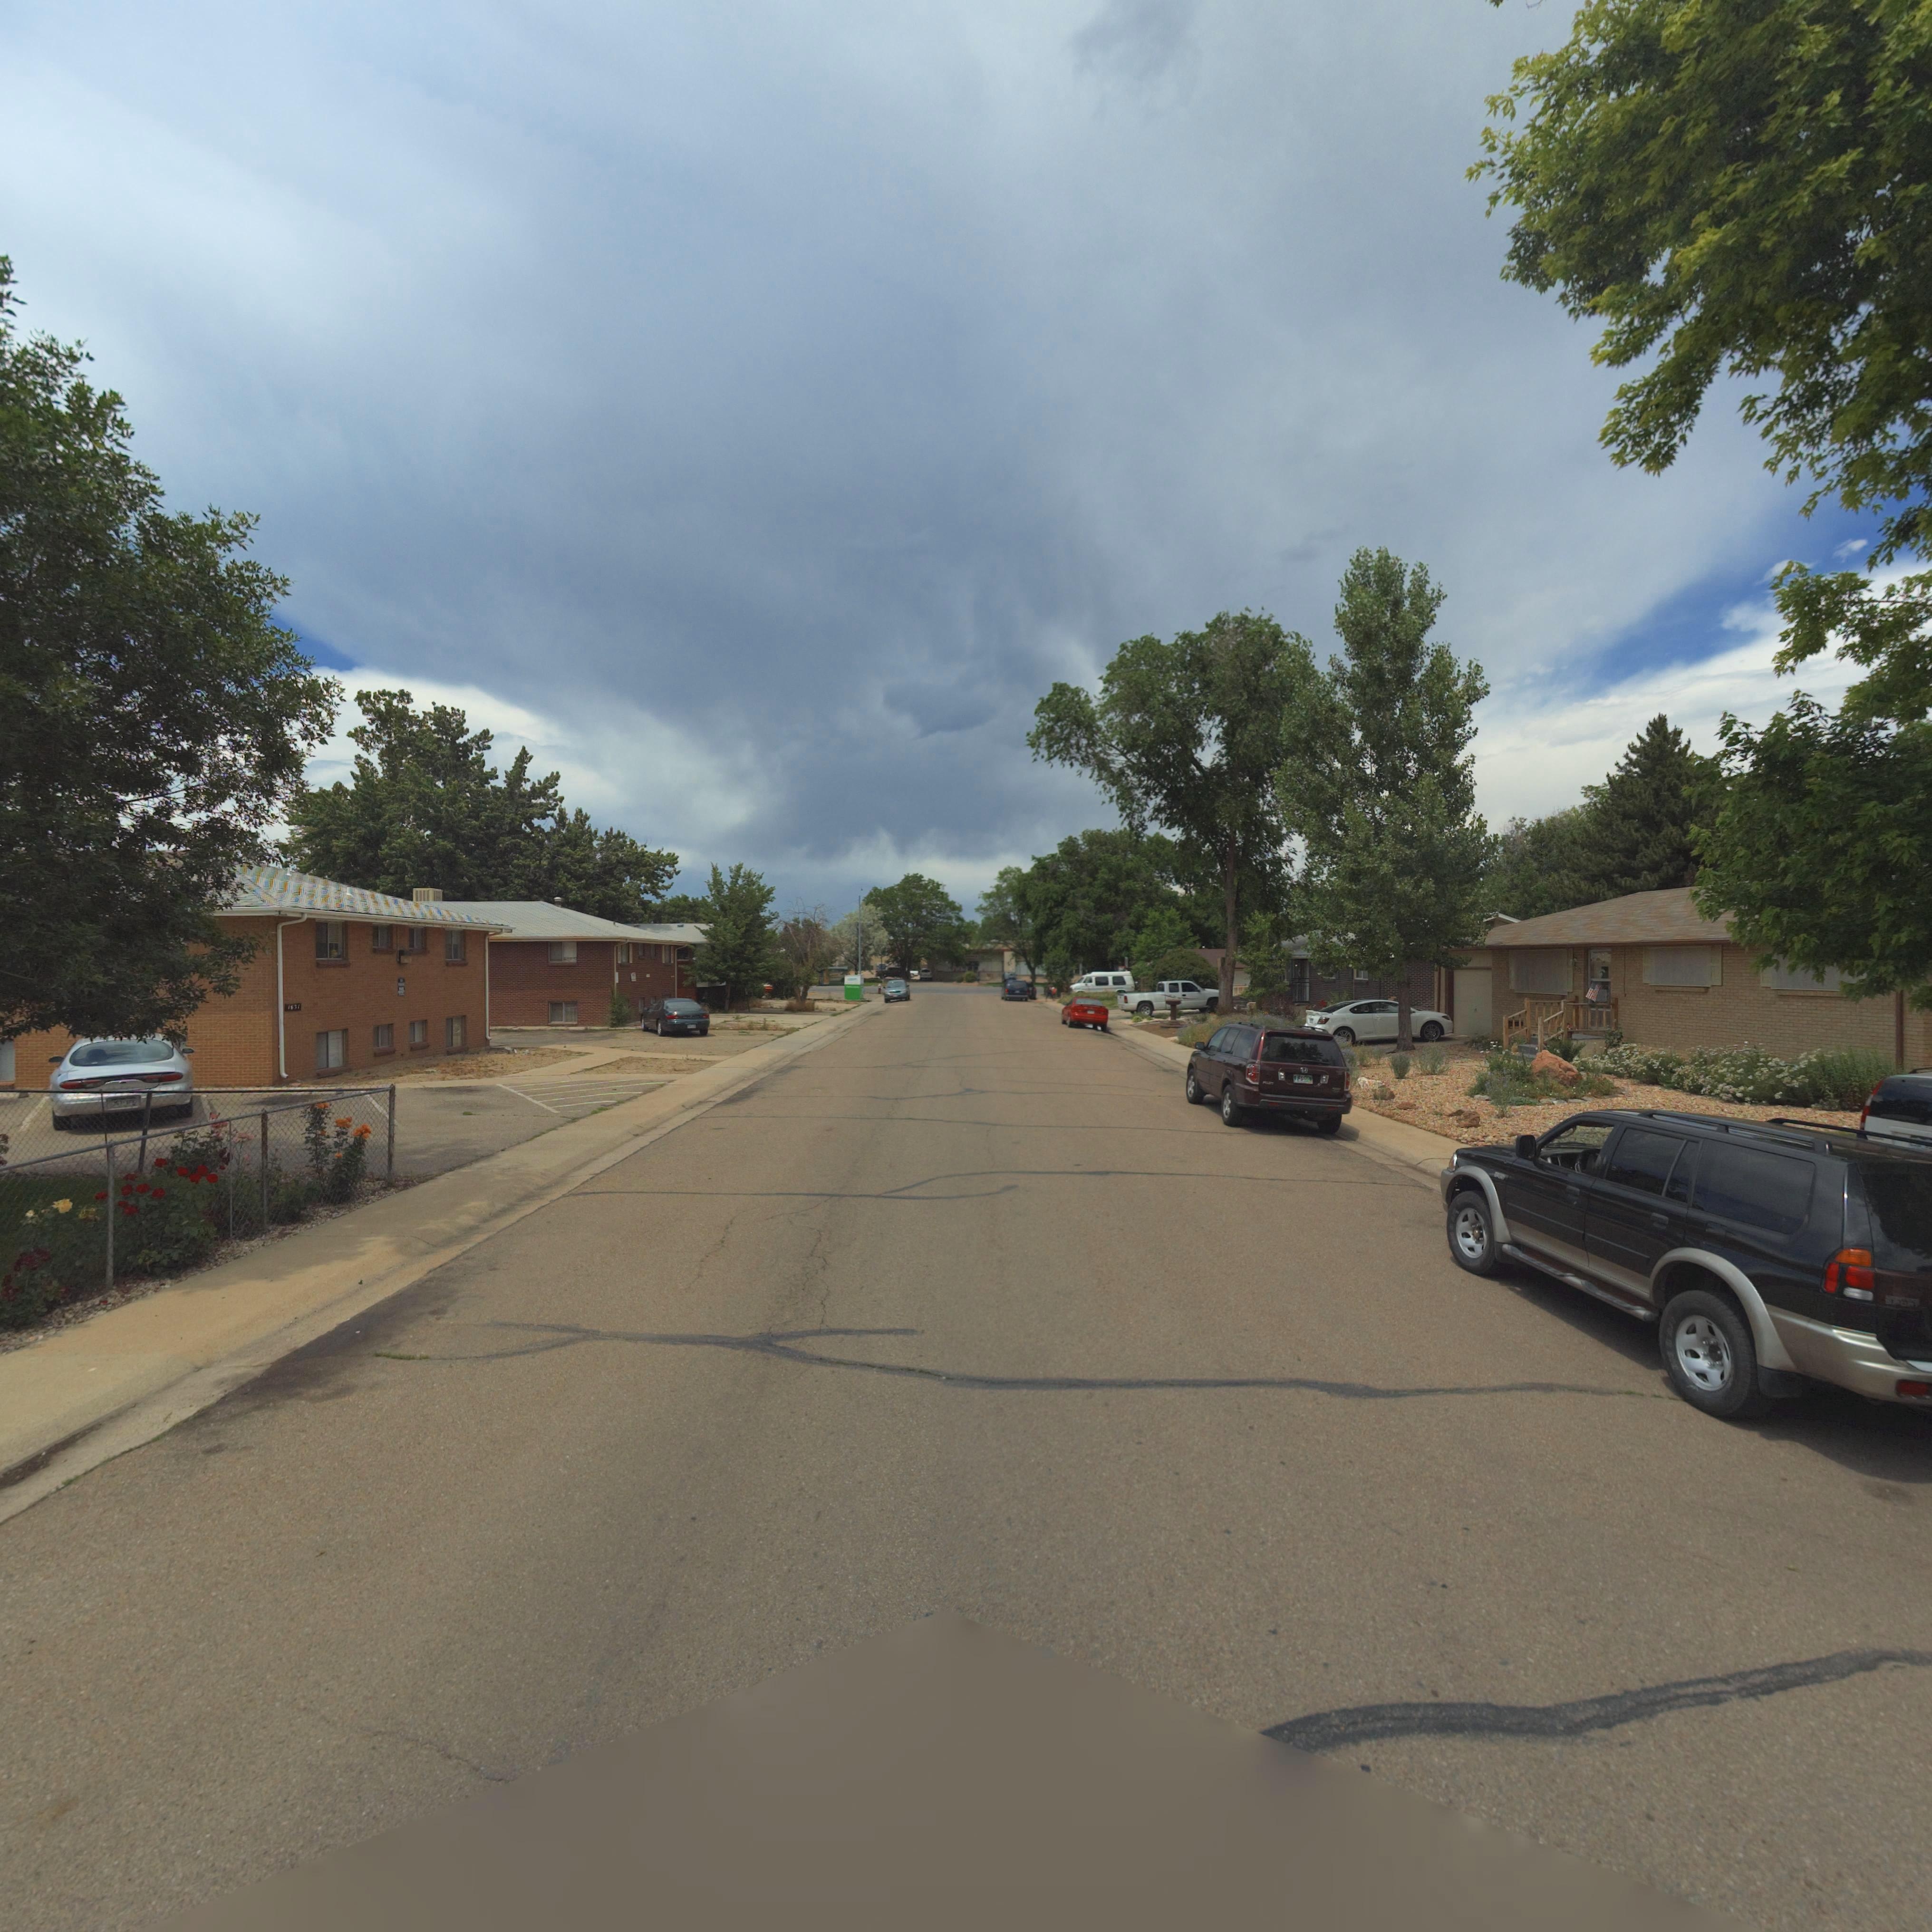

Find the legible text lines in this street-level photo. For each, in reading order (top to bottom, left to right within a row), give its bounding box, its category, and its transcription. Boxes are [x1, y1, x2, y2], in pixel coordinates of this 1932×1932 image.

[288, 1004, 300, 1010] StreetNumber: 1*3*